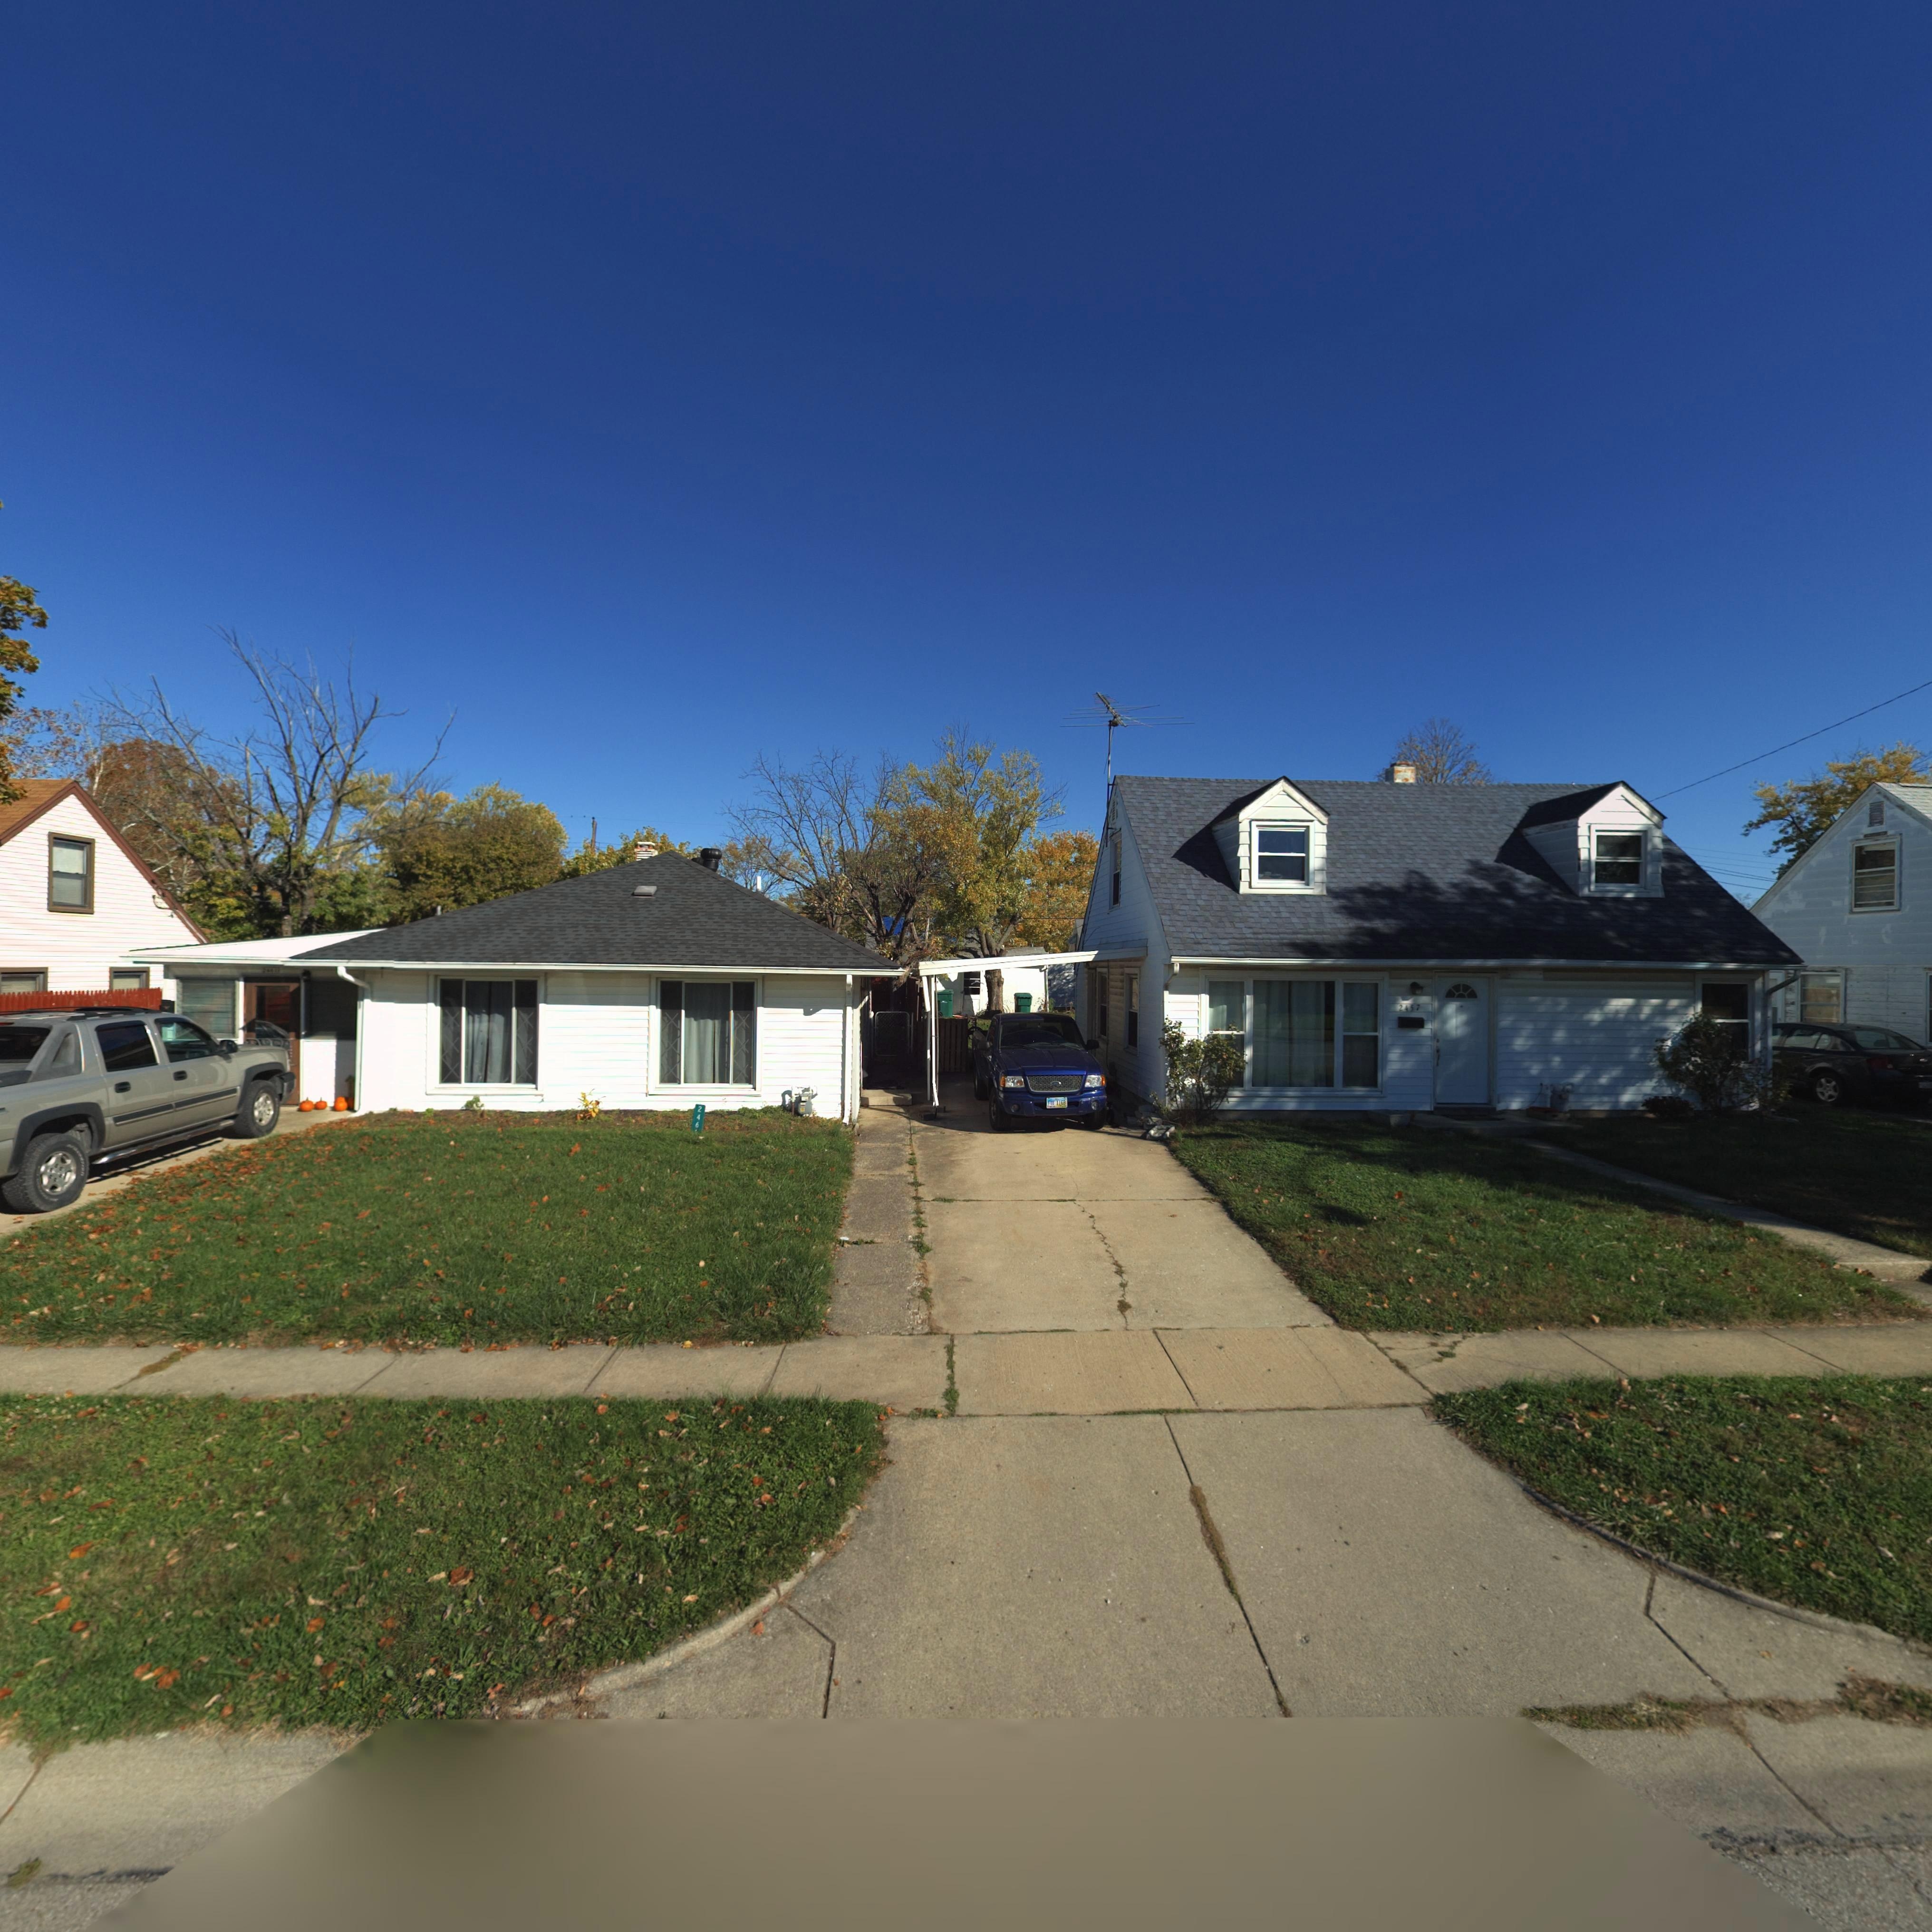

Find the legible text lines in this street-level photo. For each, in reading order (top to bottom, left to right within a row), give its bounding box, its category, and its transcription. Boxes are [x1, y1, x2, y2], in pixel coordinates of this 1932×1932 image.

[261, 967, 280, 974] StreetNumber: 24**
[1398, 1004, 1421, 1012] StreetNumber: 2457
[694, 1105, 704, 1129] StreetNumber: 246